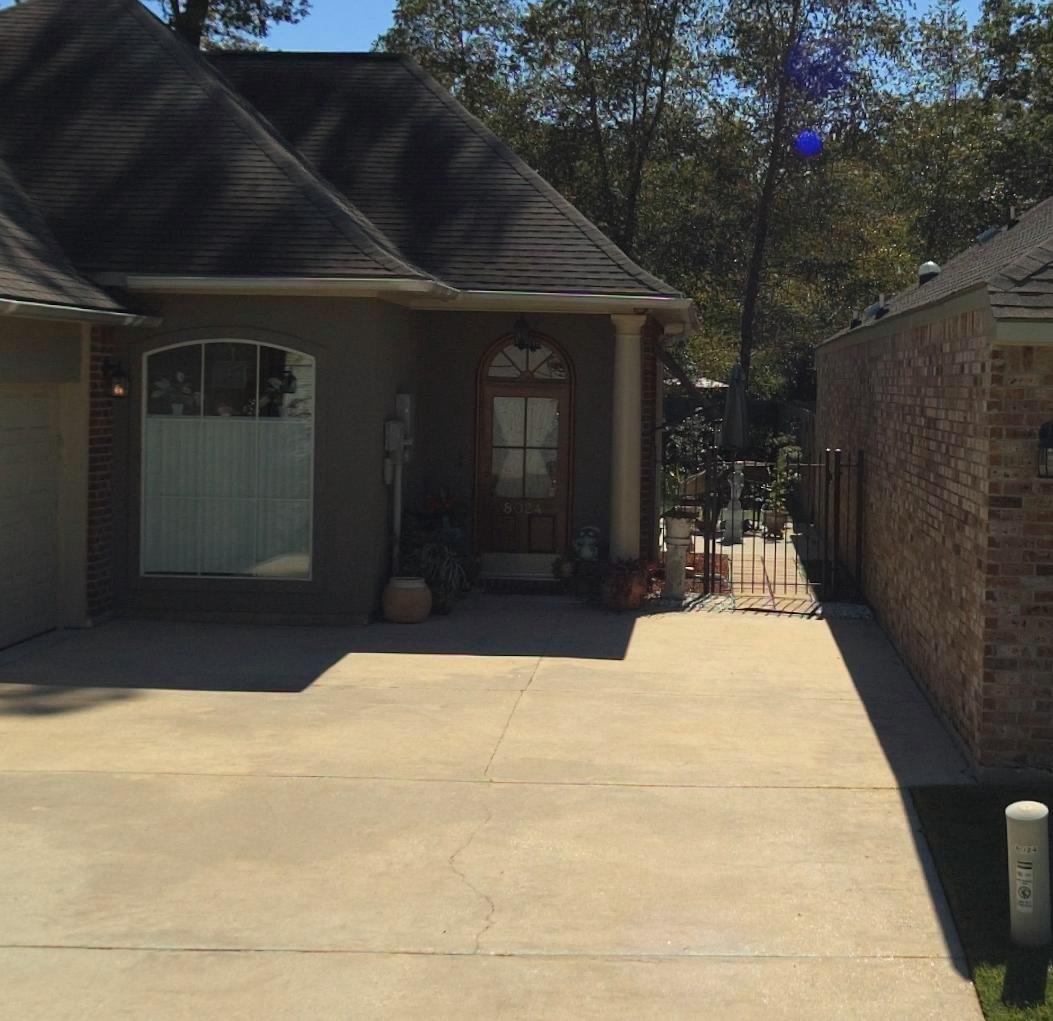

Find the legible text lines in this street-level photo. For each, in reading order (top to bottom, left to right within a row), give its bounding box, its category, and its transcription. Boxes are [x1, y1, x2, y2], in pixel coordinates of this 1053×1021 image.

[500, 499, 544, 517] StreetNumber: 8024